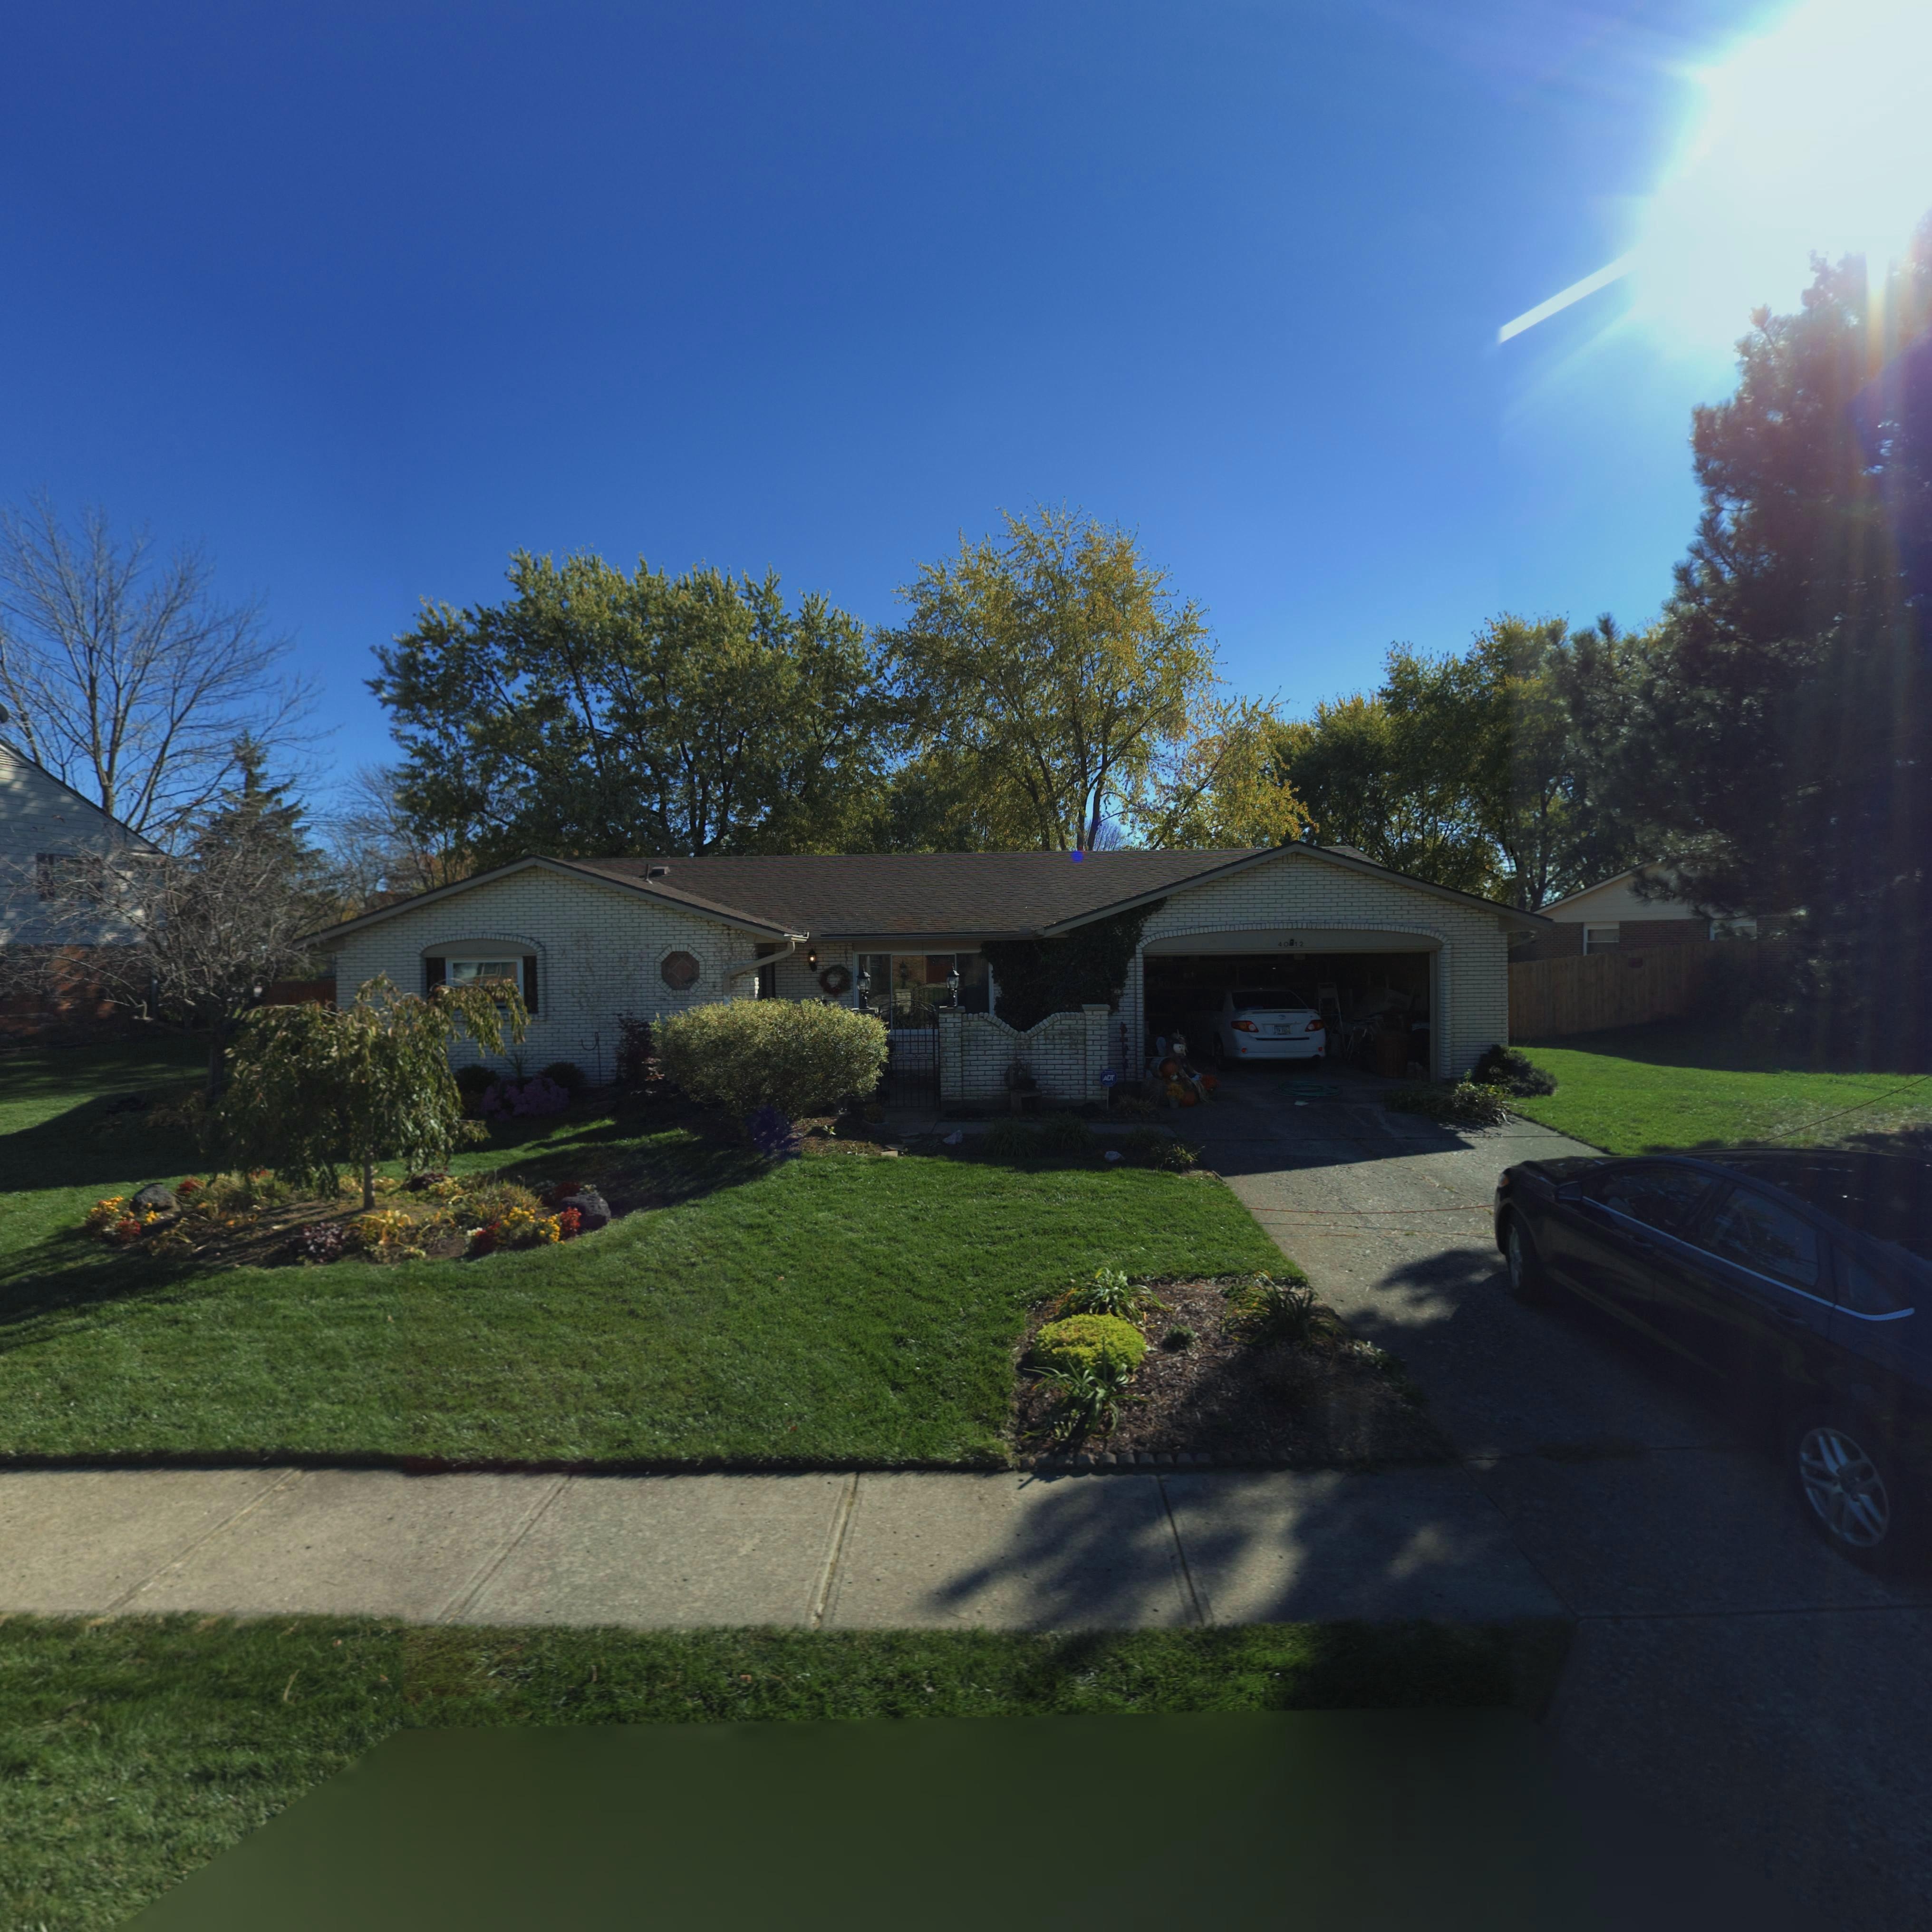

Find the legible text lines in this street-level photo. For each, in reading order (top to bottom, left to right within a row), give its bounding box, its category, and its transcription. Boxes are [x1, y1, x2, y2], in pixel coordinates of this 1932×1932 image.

[1277, 941, 1304, 947] StreetNumber: 40*12